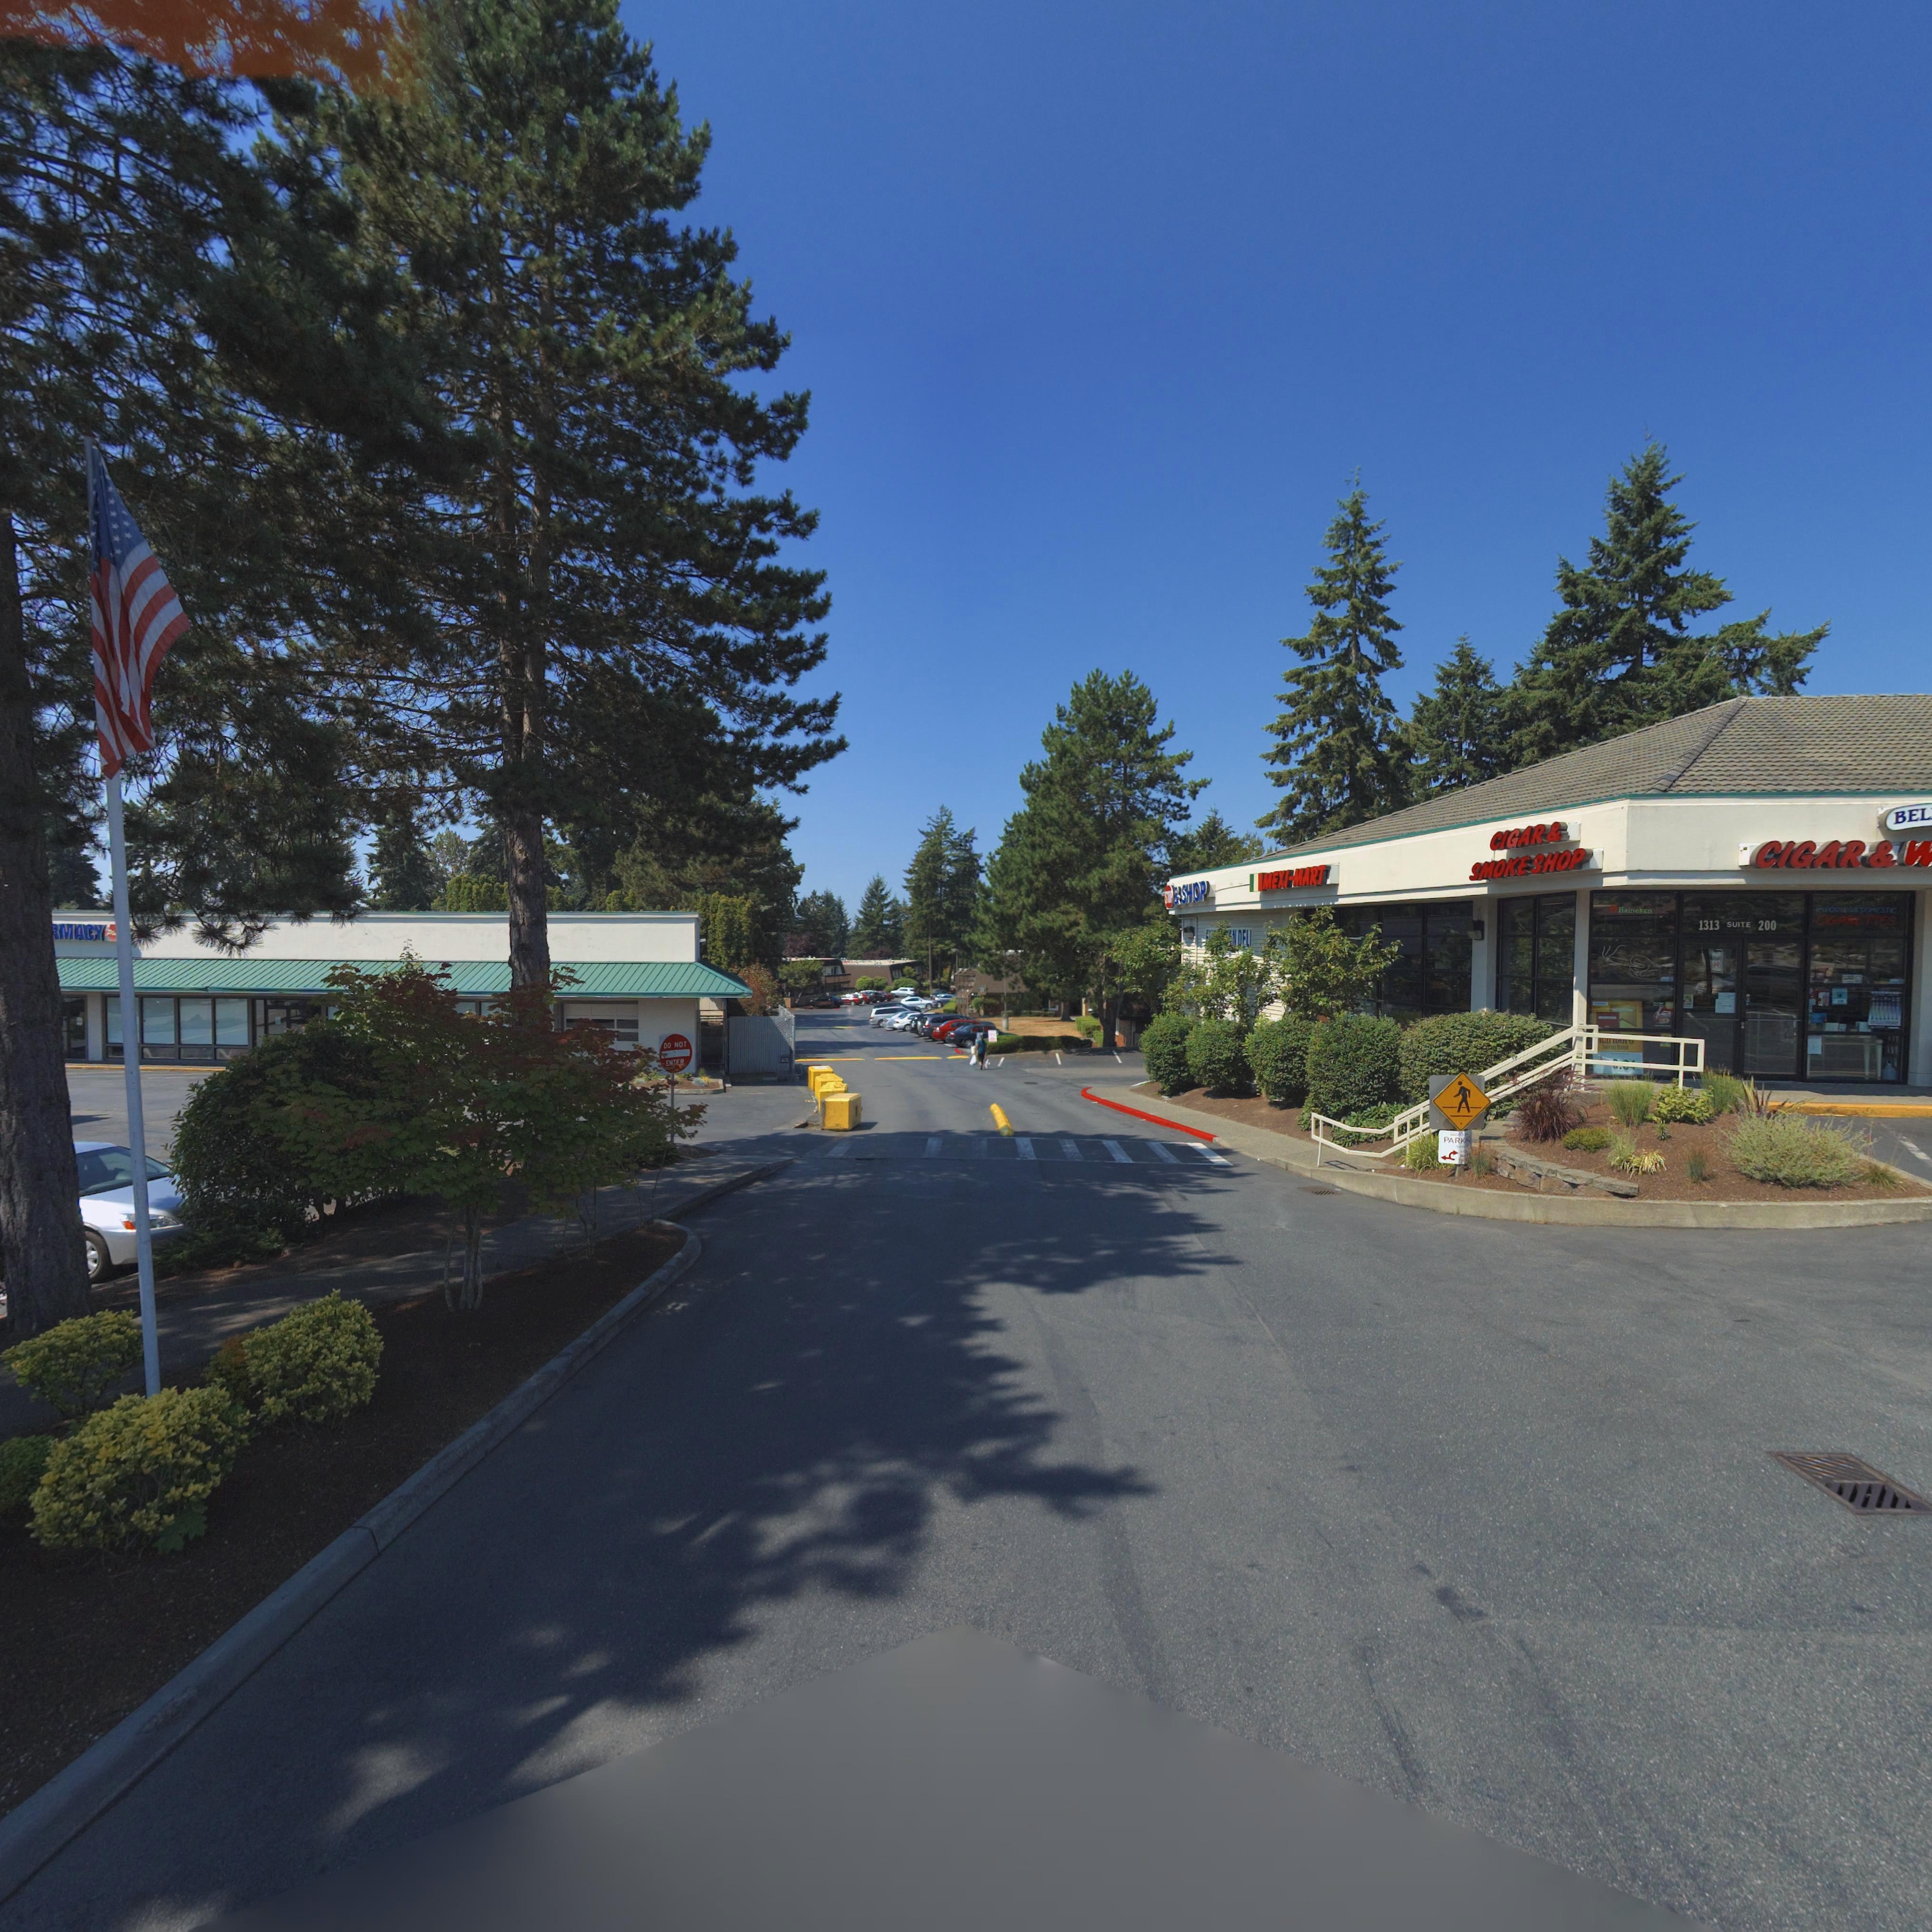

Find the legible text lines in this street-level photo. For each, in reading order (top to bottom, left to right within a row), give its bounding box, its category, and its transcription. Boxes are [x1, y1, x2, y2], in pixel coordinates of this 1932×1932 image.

[1894, 807, 1931, 825] BusinessName: BEL
[1488, 818, 1572, 852] BusinessName: CIGAR*
[1466, 843, 1596, 883] BusinessName: SMOKE SHOP
[1751, 840, 1929, 869] BusinessName: CIGAR**
[1262, 865, 1329, 889] BusinessName: MEXI*MART
[1180, 880, 1207, 904] BusinessName: SHOP
[54, 924, 105, 941] BusinessName: *MACY
[1236, 929, 1253, 947] BusinessName: DELI
[1699, 920, 1719, 930] StreetNumber: 1313
[1726, 921, 1752, 928] SecondaryUnitDesignator: SUITE
[1758, 919, 1777, 931] SecondaryUnitDesignator: 200